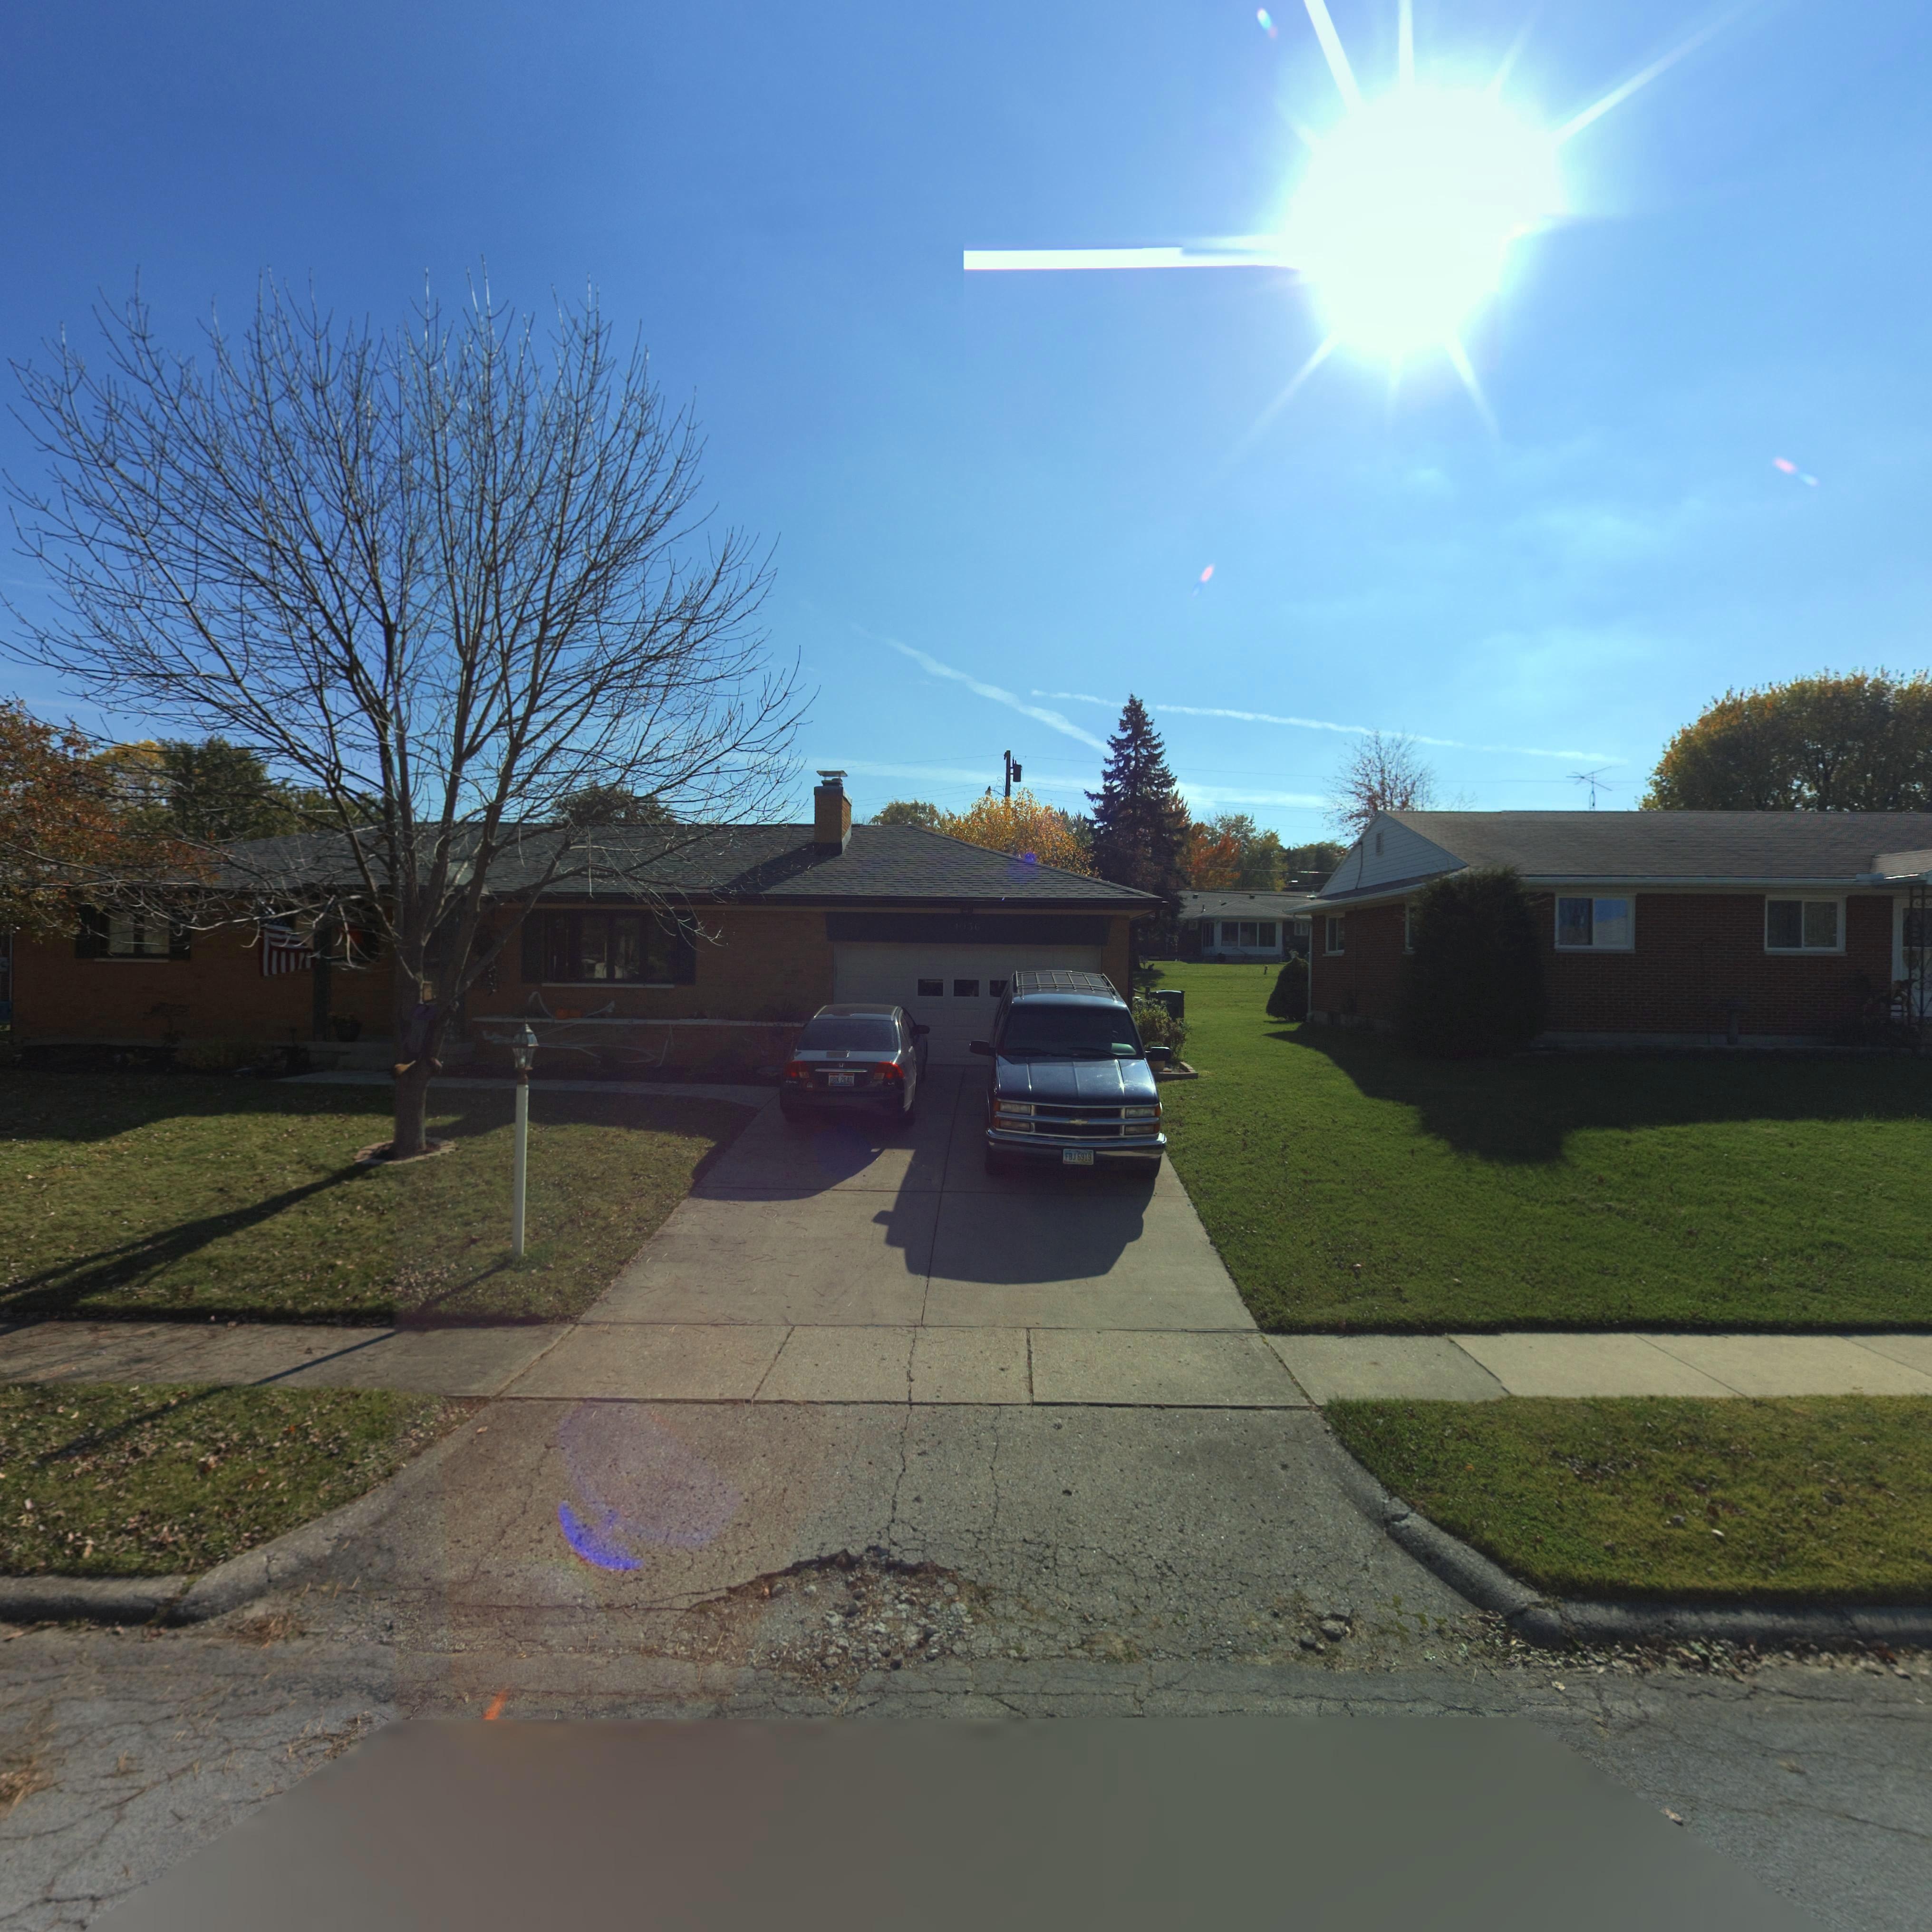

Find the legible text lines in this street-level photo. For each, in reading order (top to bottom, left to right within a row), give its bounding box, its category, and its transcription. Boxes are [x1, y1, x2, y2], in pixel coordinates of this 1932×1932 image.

[954, 921, 982, 931] StreetNumber: 1*56
[829, 1075, 853, 1084] None: DBX 2640
[1064, 1151, 1092, 1162] None: FBJ 6919